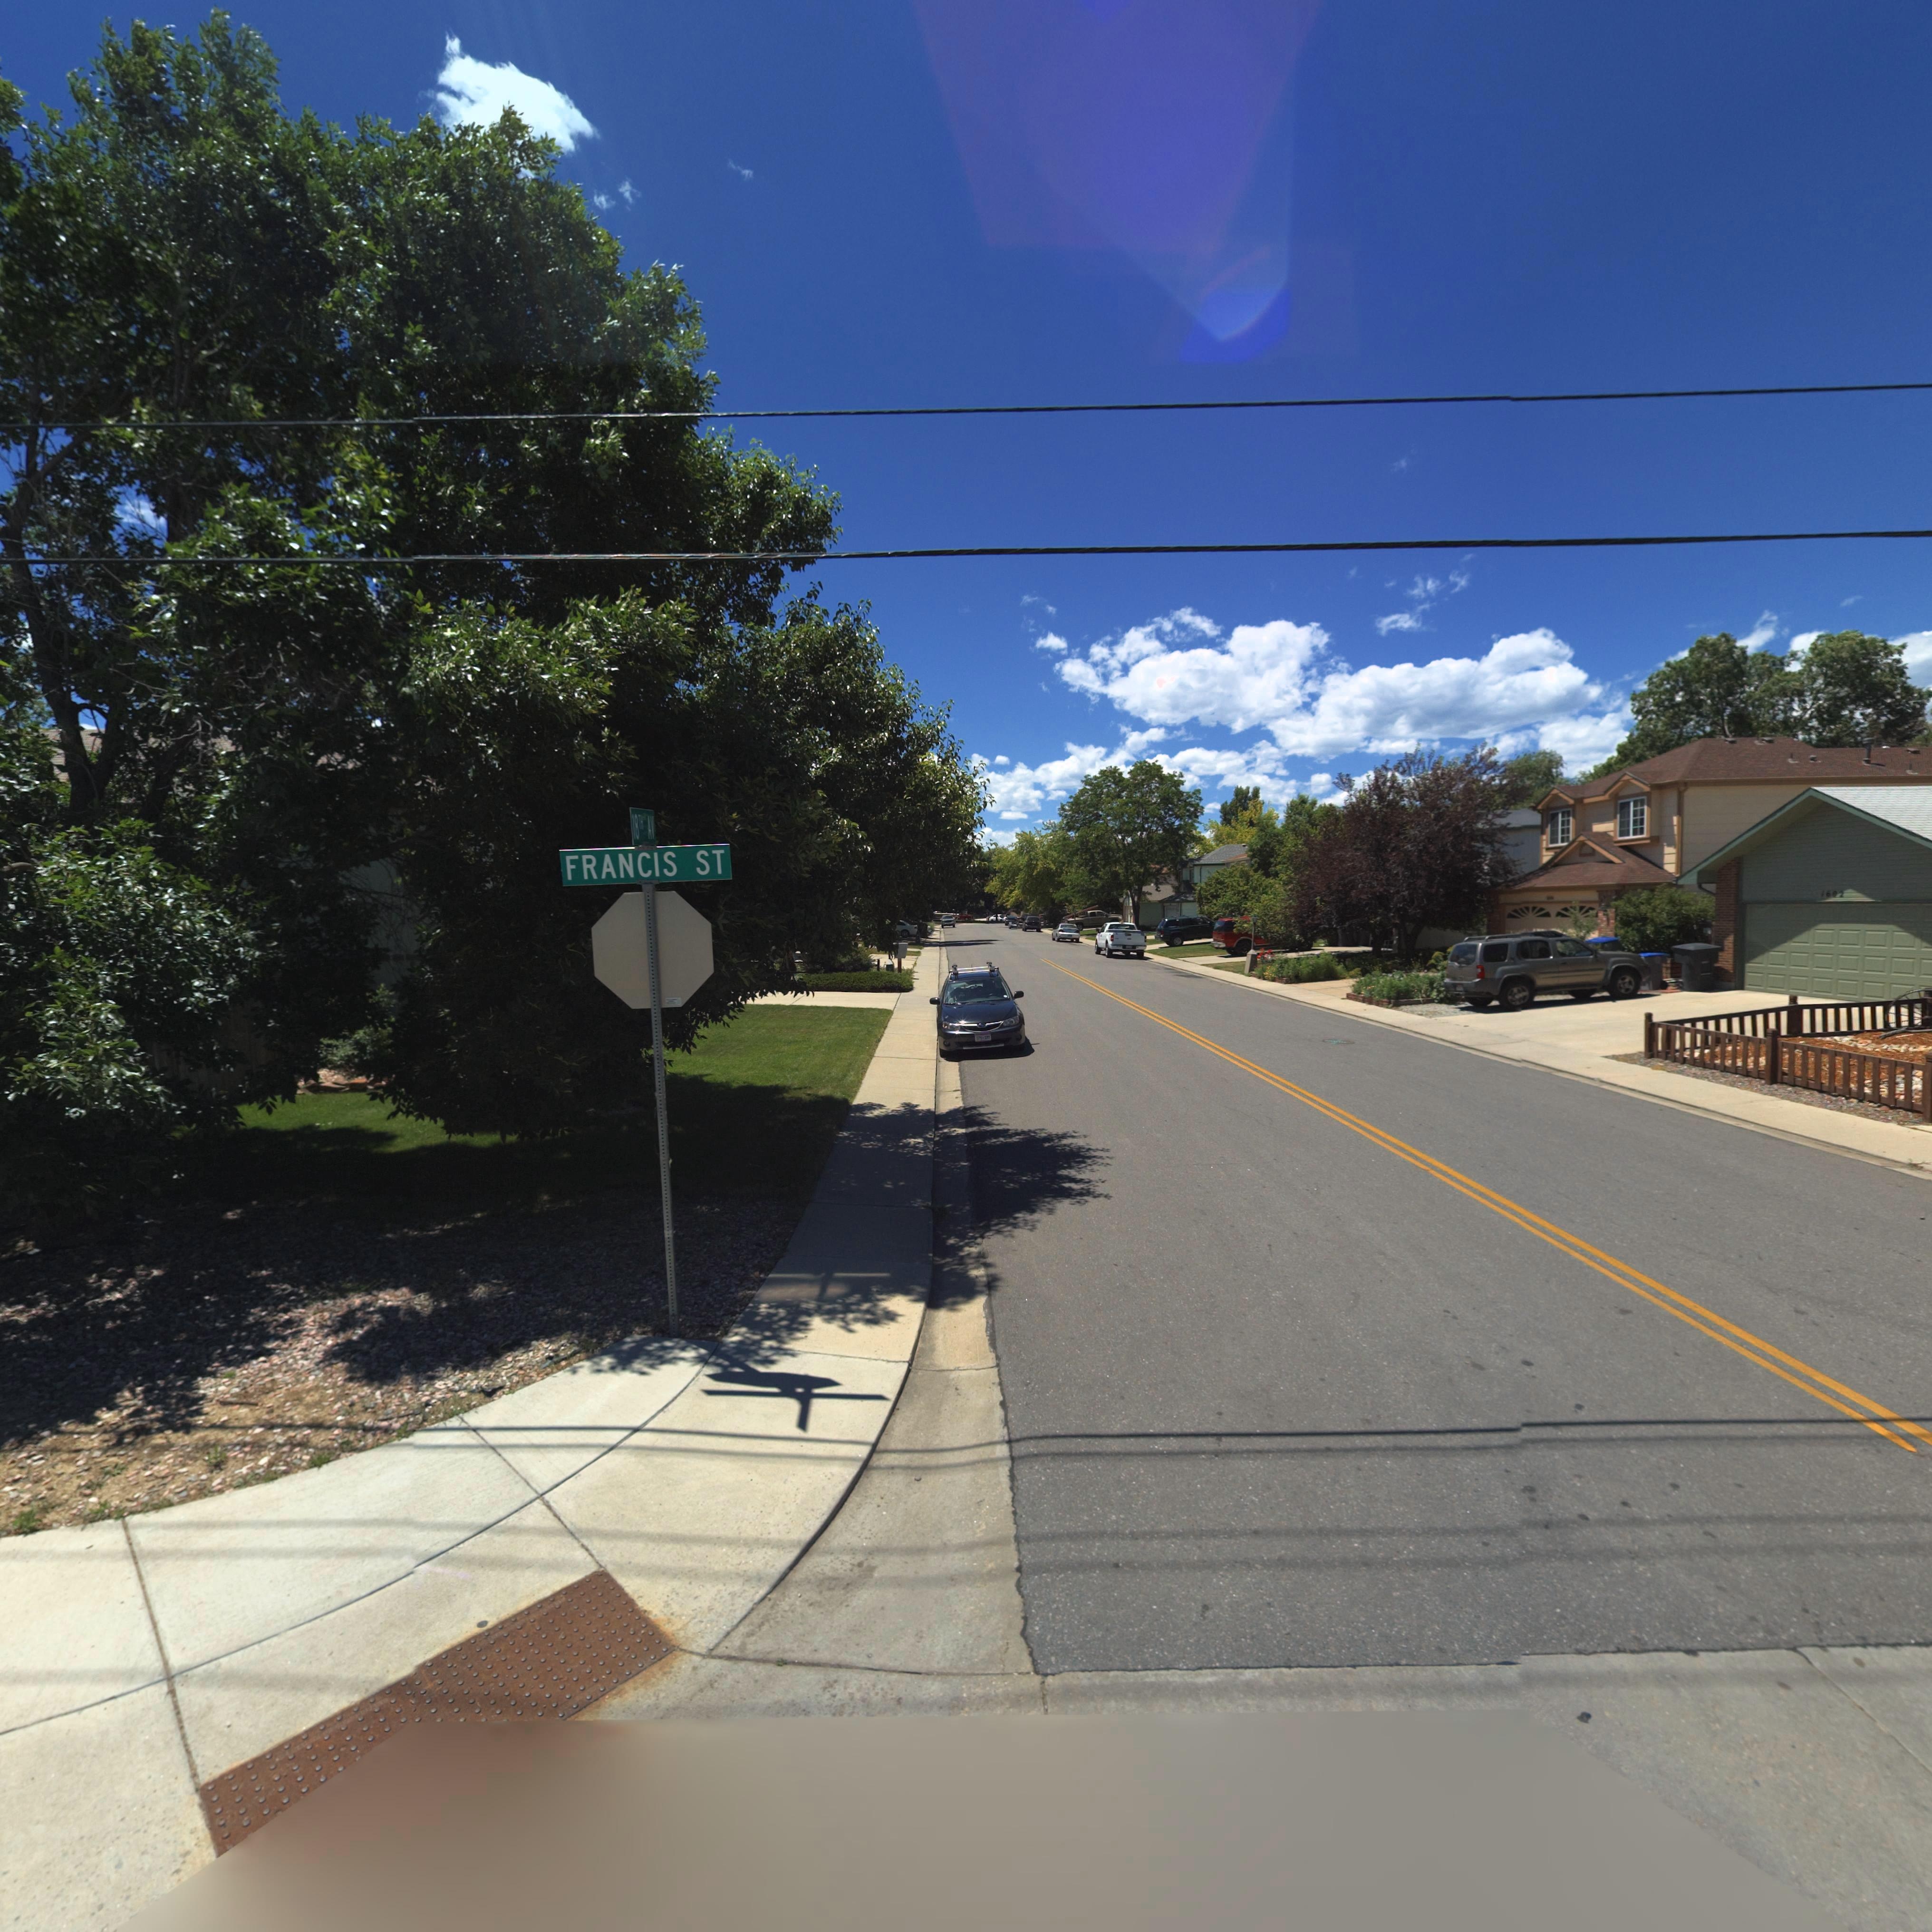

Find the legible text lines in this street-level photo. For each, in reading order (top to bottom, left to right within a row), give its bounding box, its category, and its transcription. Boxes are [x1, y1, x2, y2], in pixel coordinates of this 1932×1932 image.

[631, 813, 655, 840] StreetName: 18TH AV
[565, 849, 724, 880] StreetName: FRANCIS ST